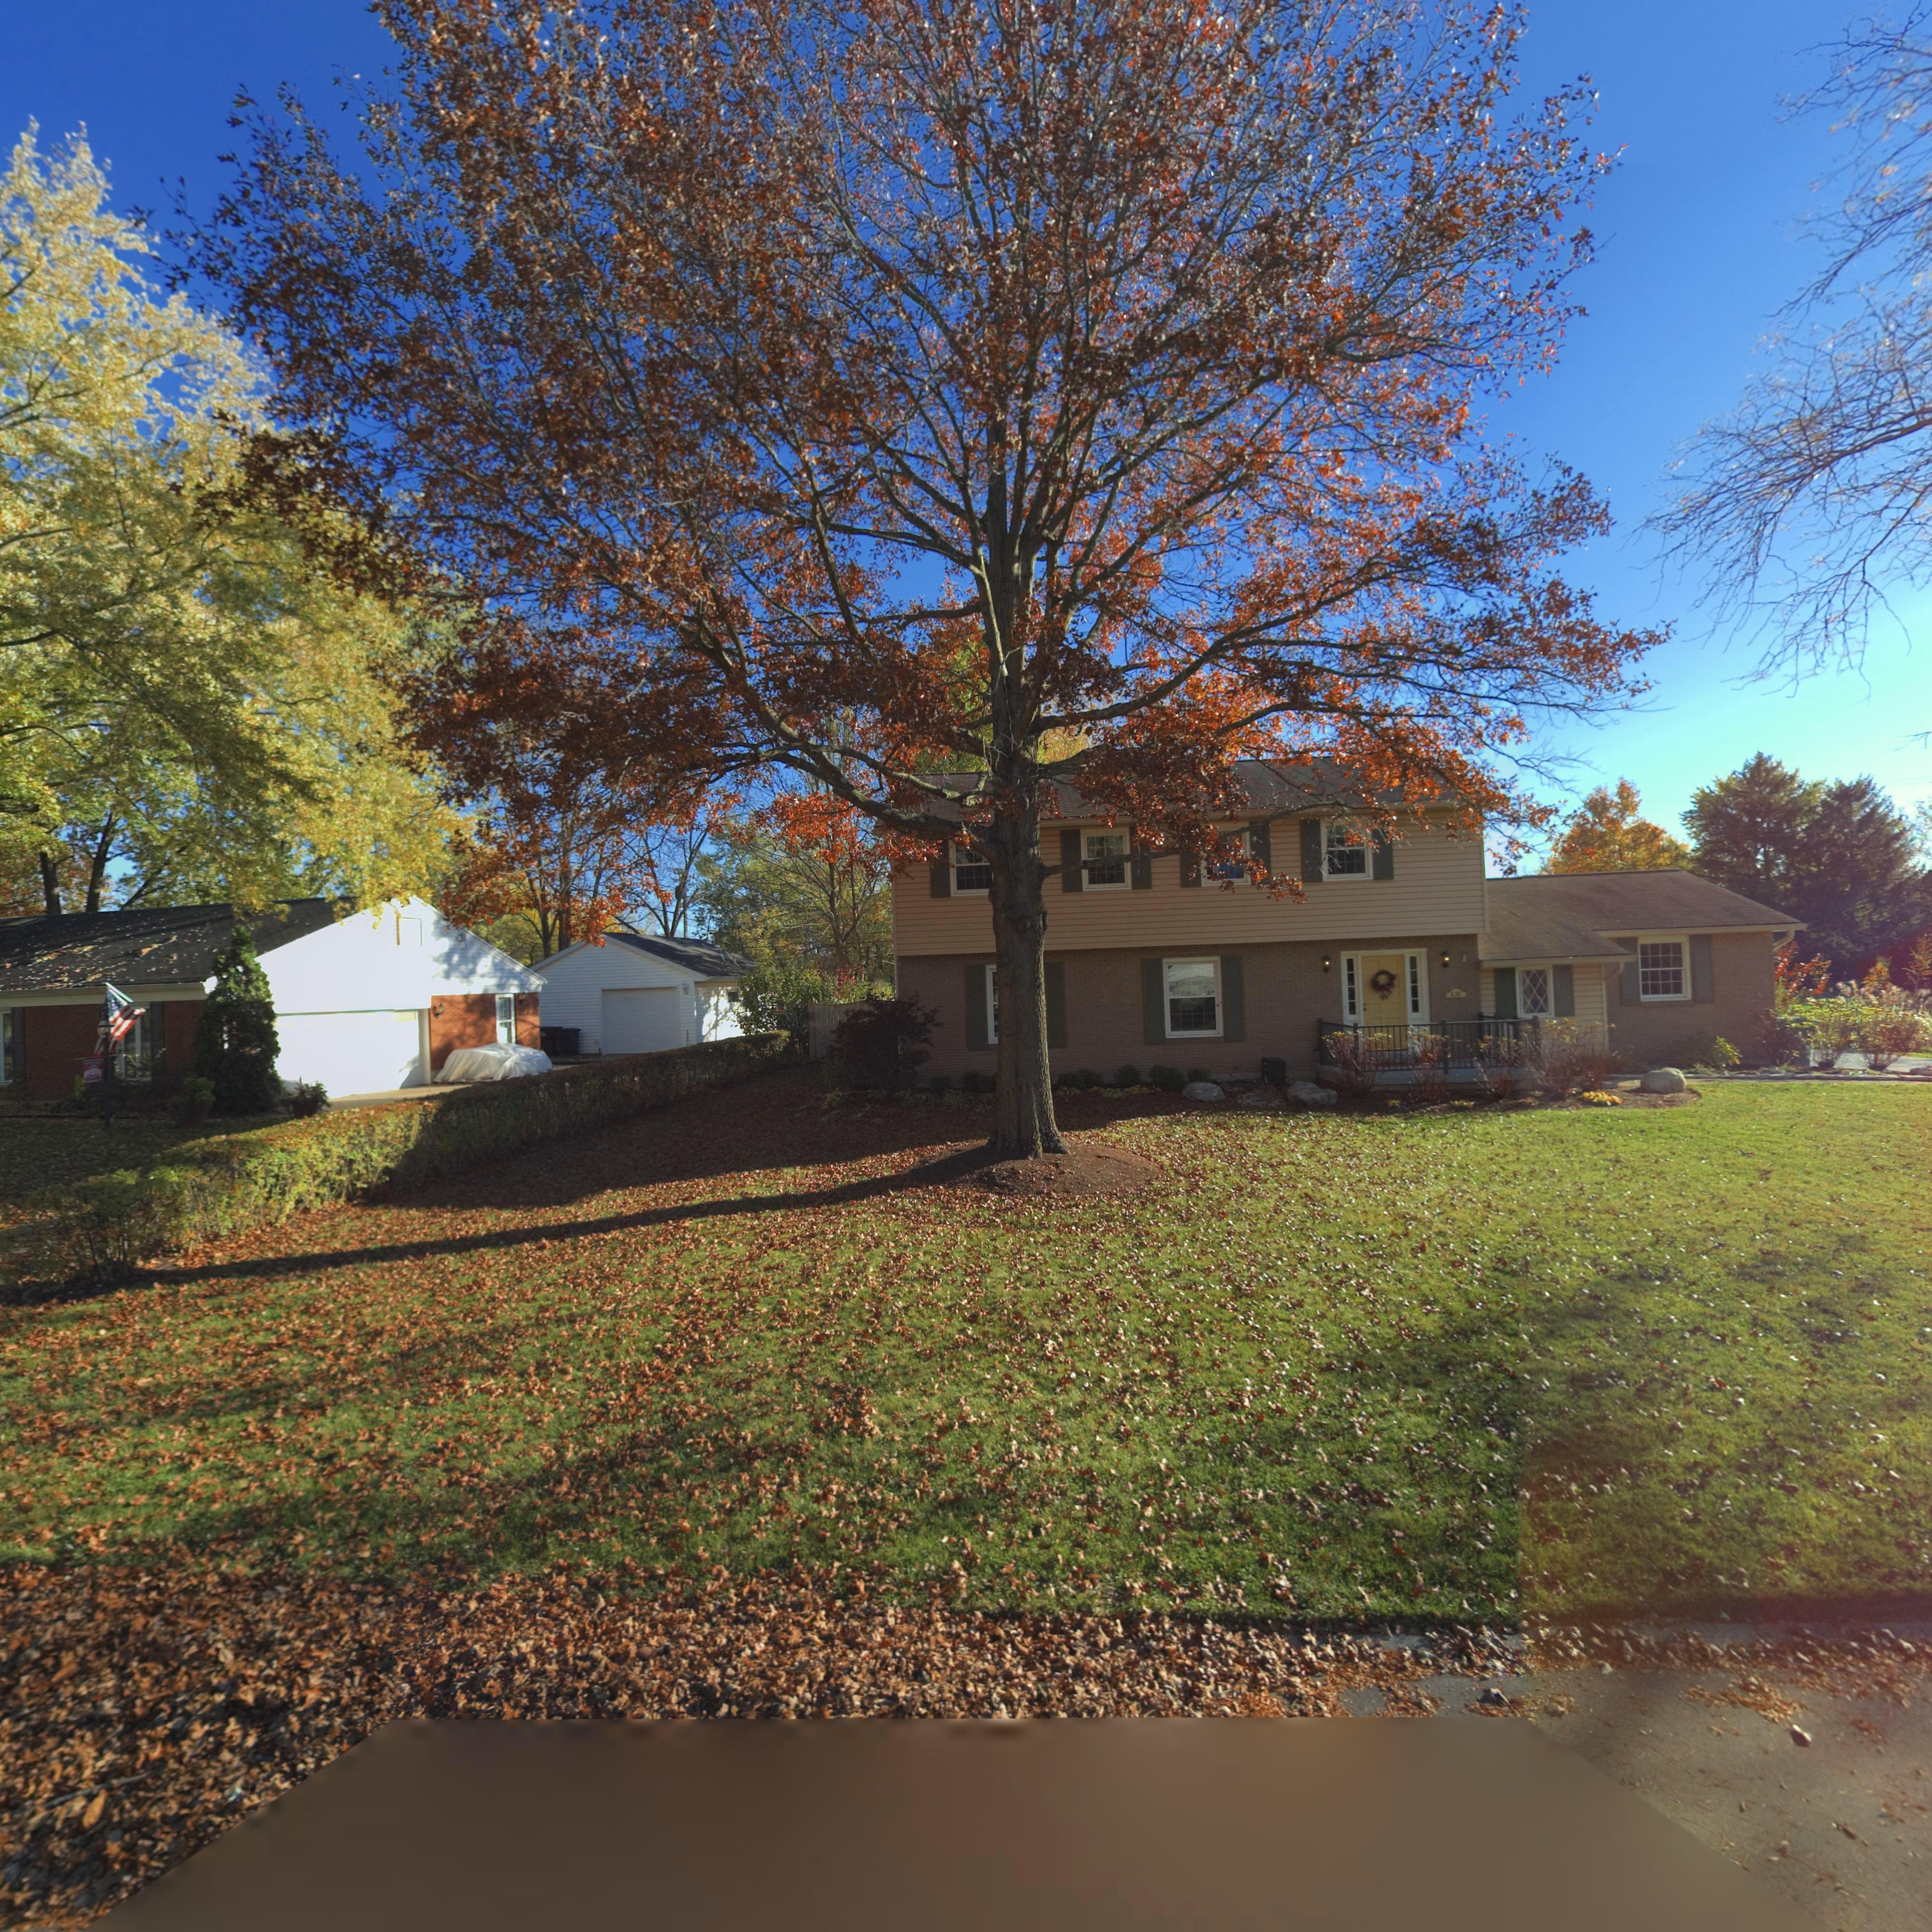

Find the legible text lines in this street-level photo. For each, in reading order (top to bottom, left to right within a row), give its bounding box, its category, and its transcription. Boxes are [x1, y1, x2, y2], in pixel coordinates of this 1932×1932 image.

[1450, 991, 1460, 997] StreetNumber: 838